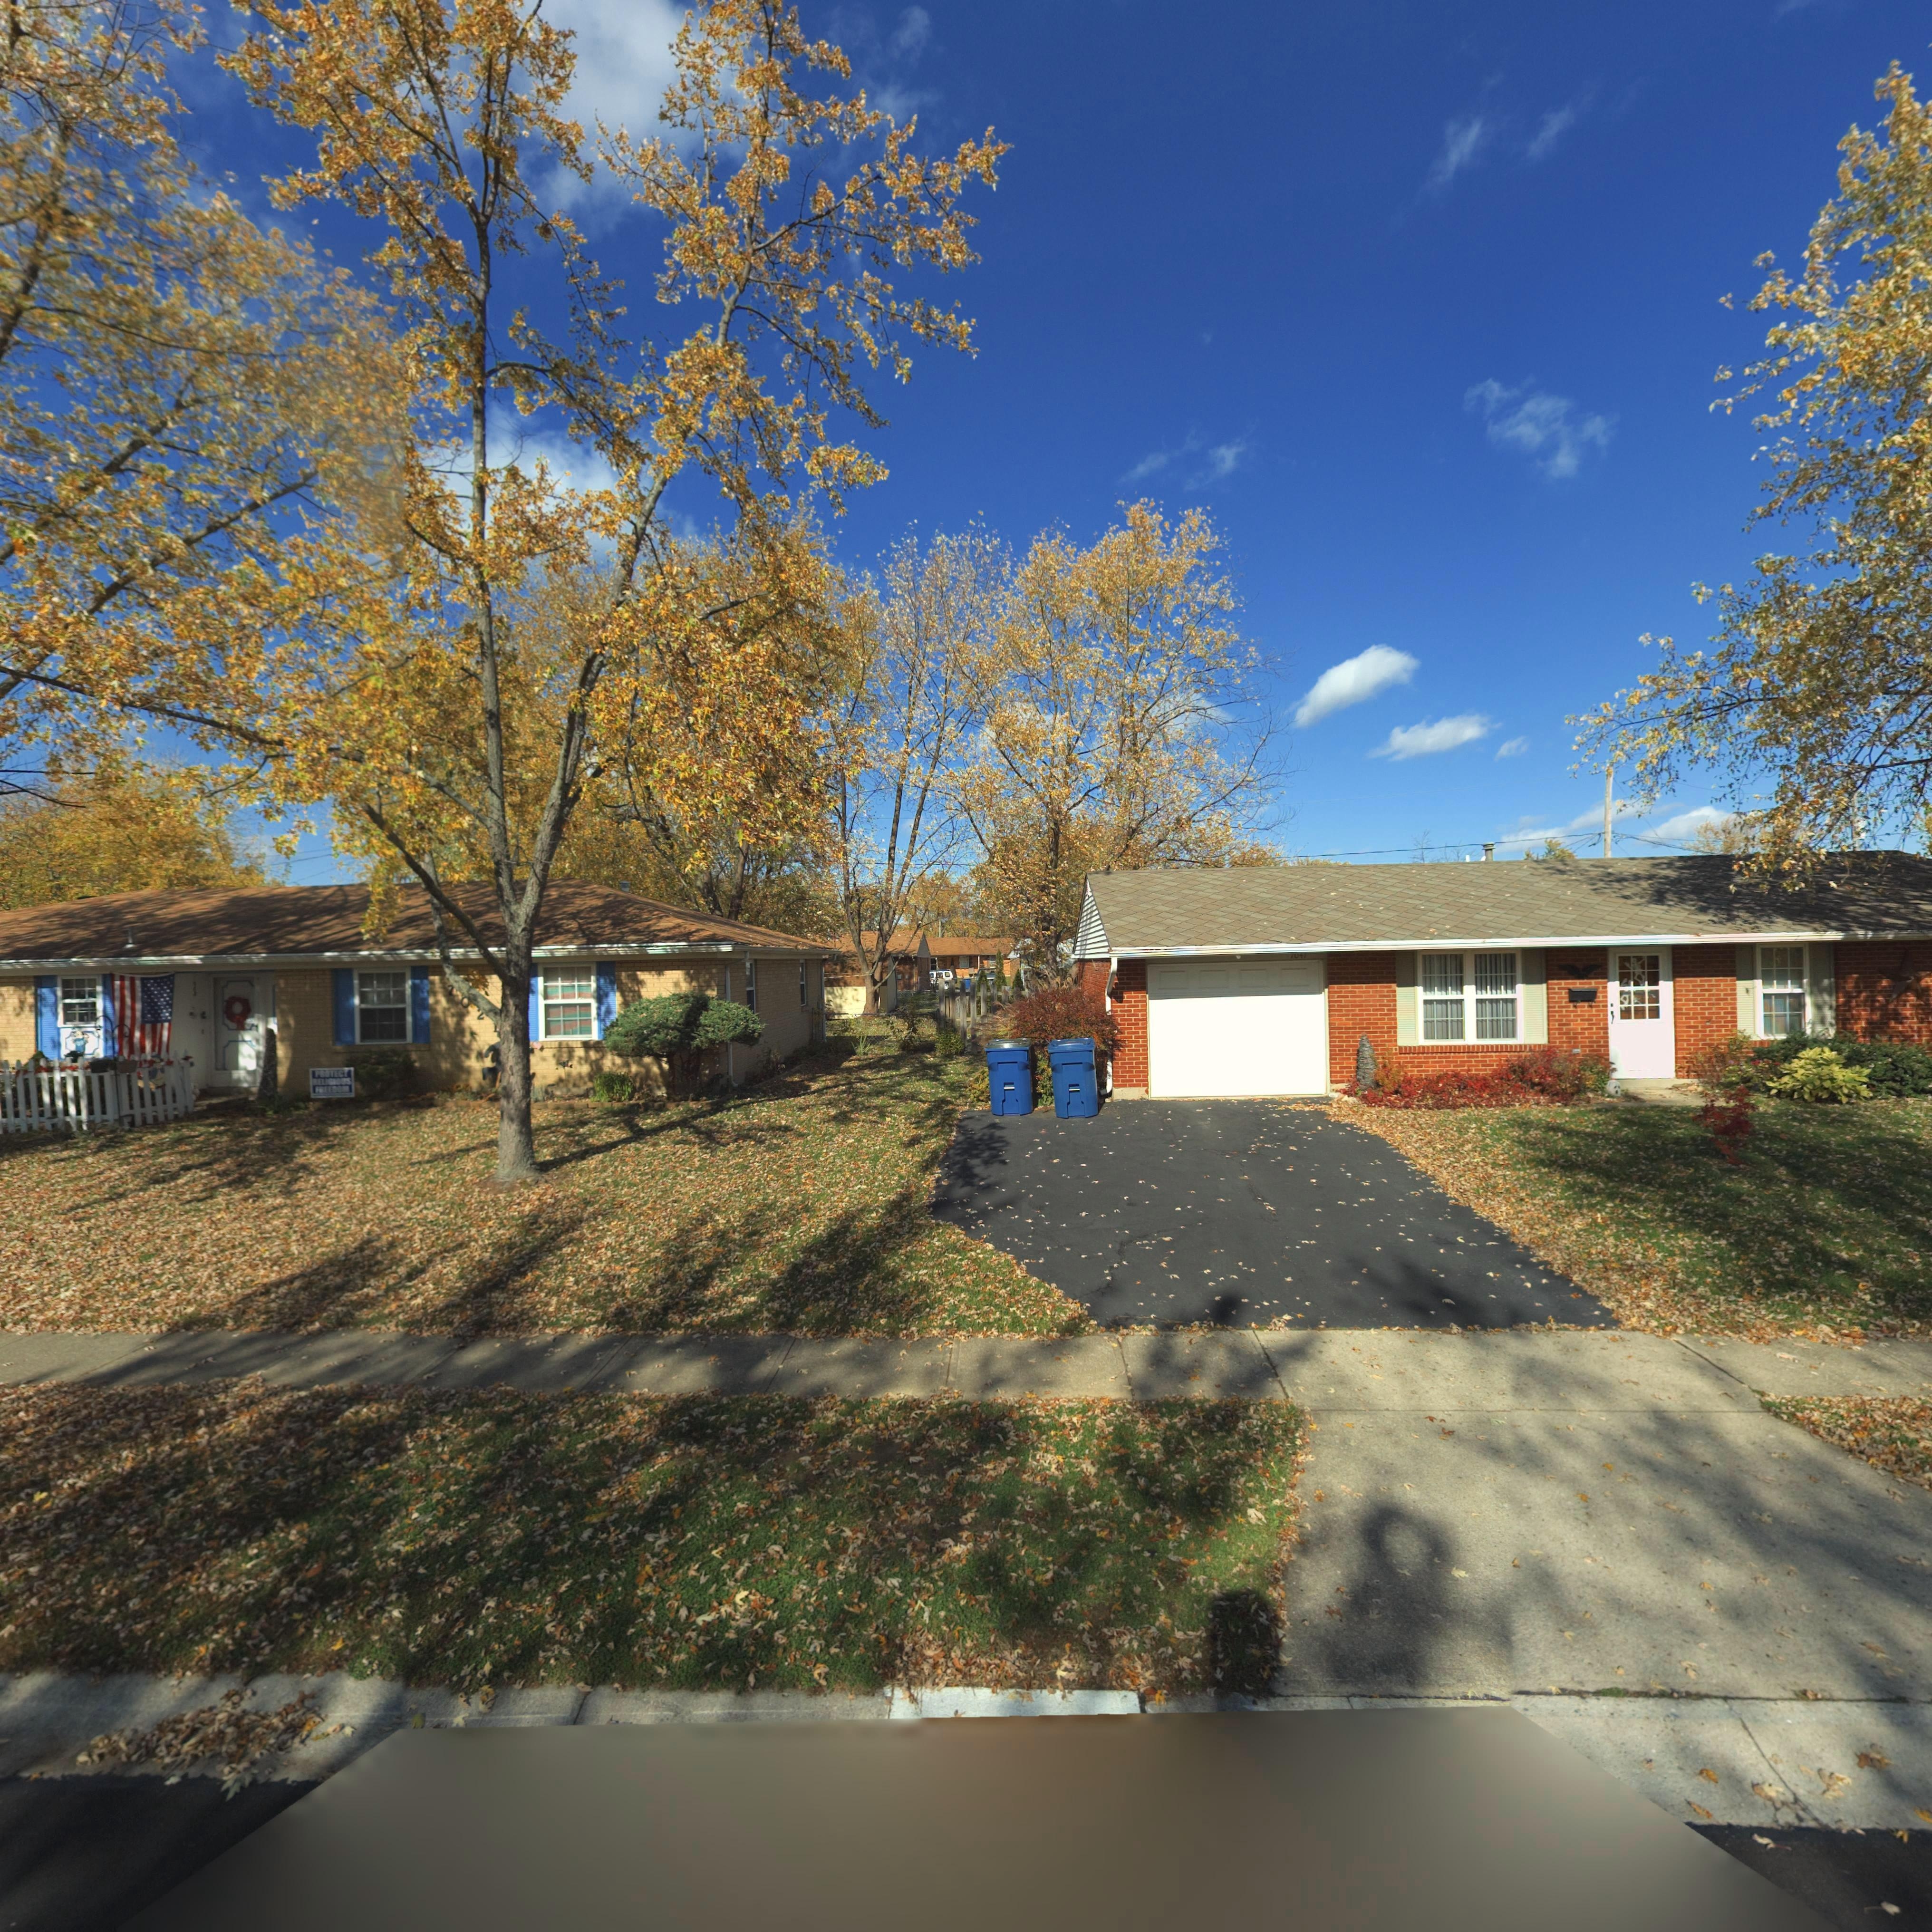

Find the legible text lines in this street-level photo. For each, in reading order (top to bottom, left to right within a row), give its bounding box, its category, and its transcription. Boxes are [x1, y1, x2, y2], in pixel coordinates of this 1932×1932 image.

[1289, 952, 1307, 960] StreetNumber: *0**
[446, 984, 485, 1022] StreetNumber: 70*